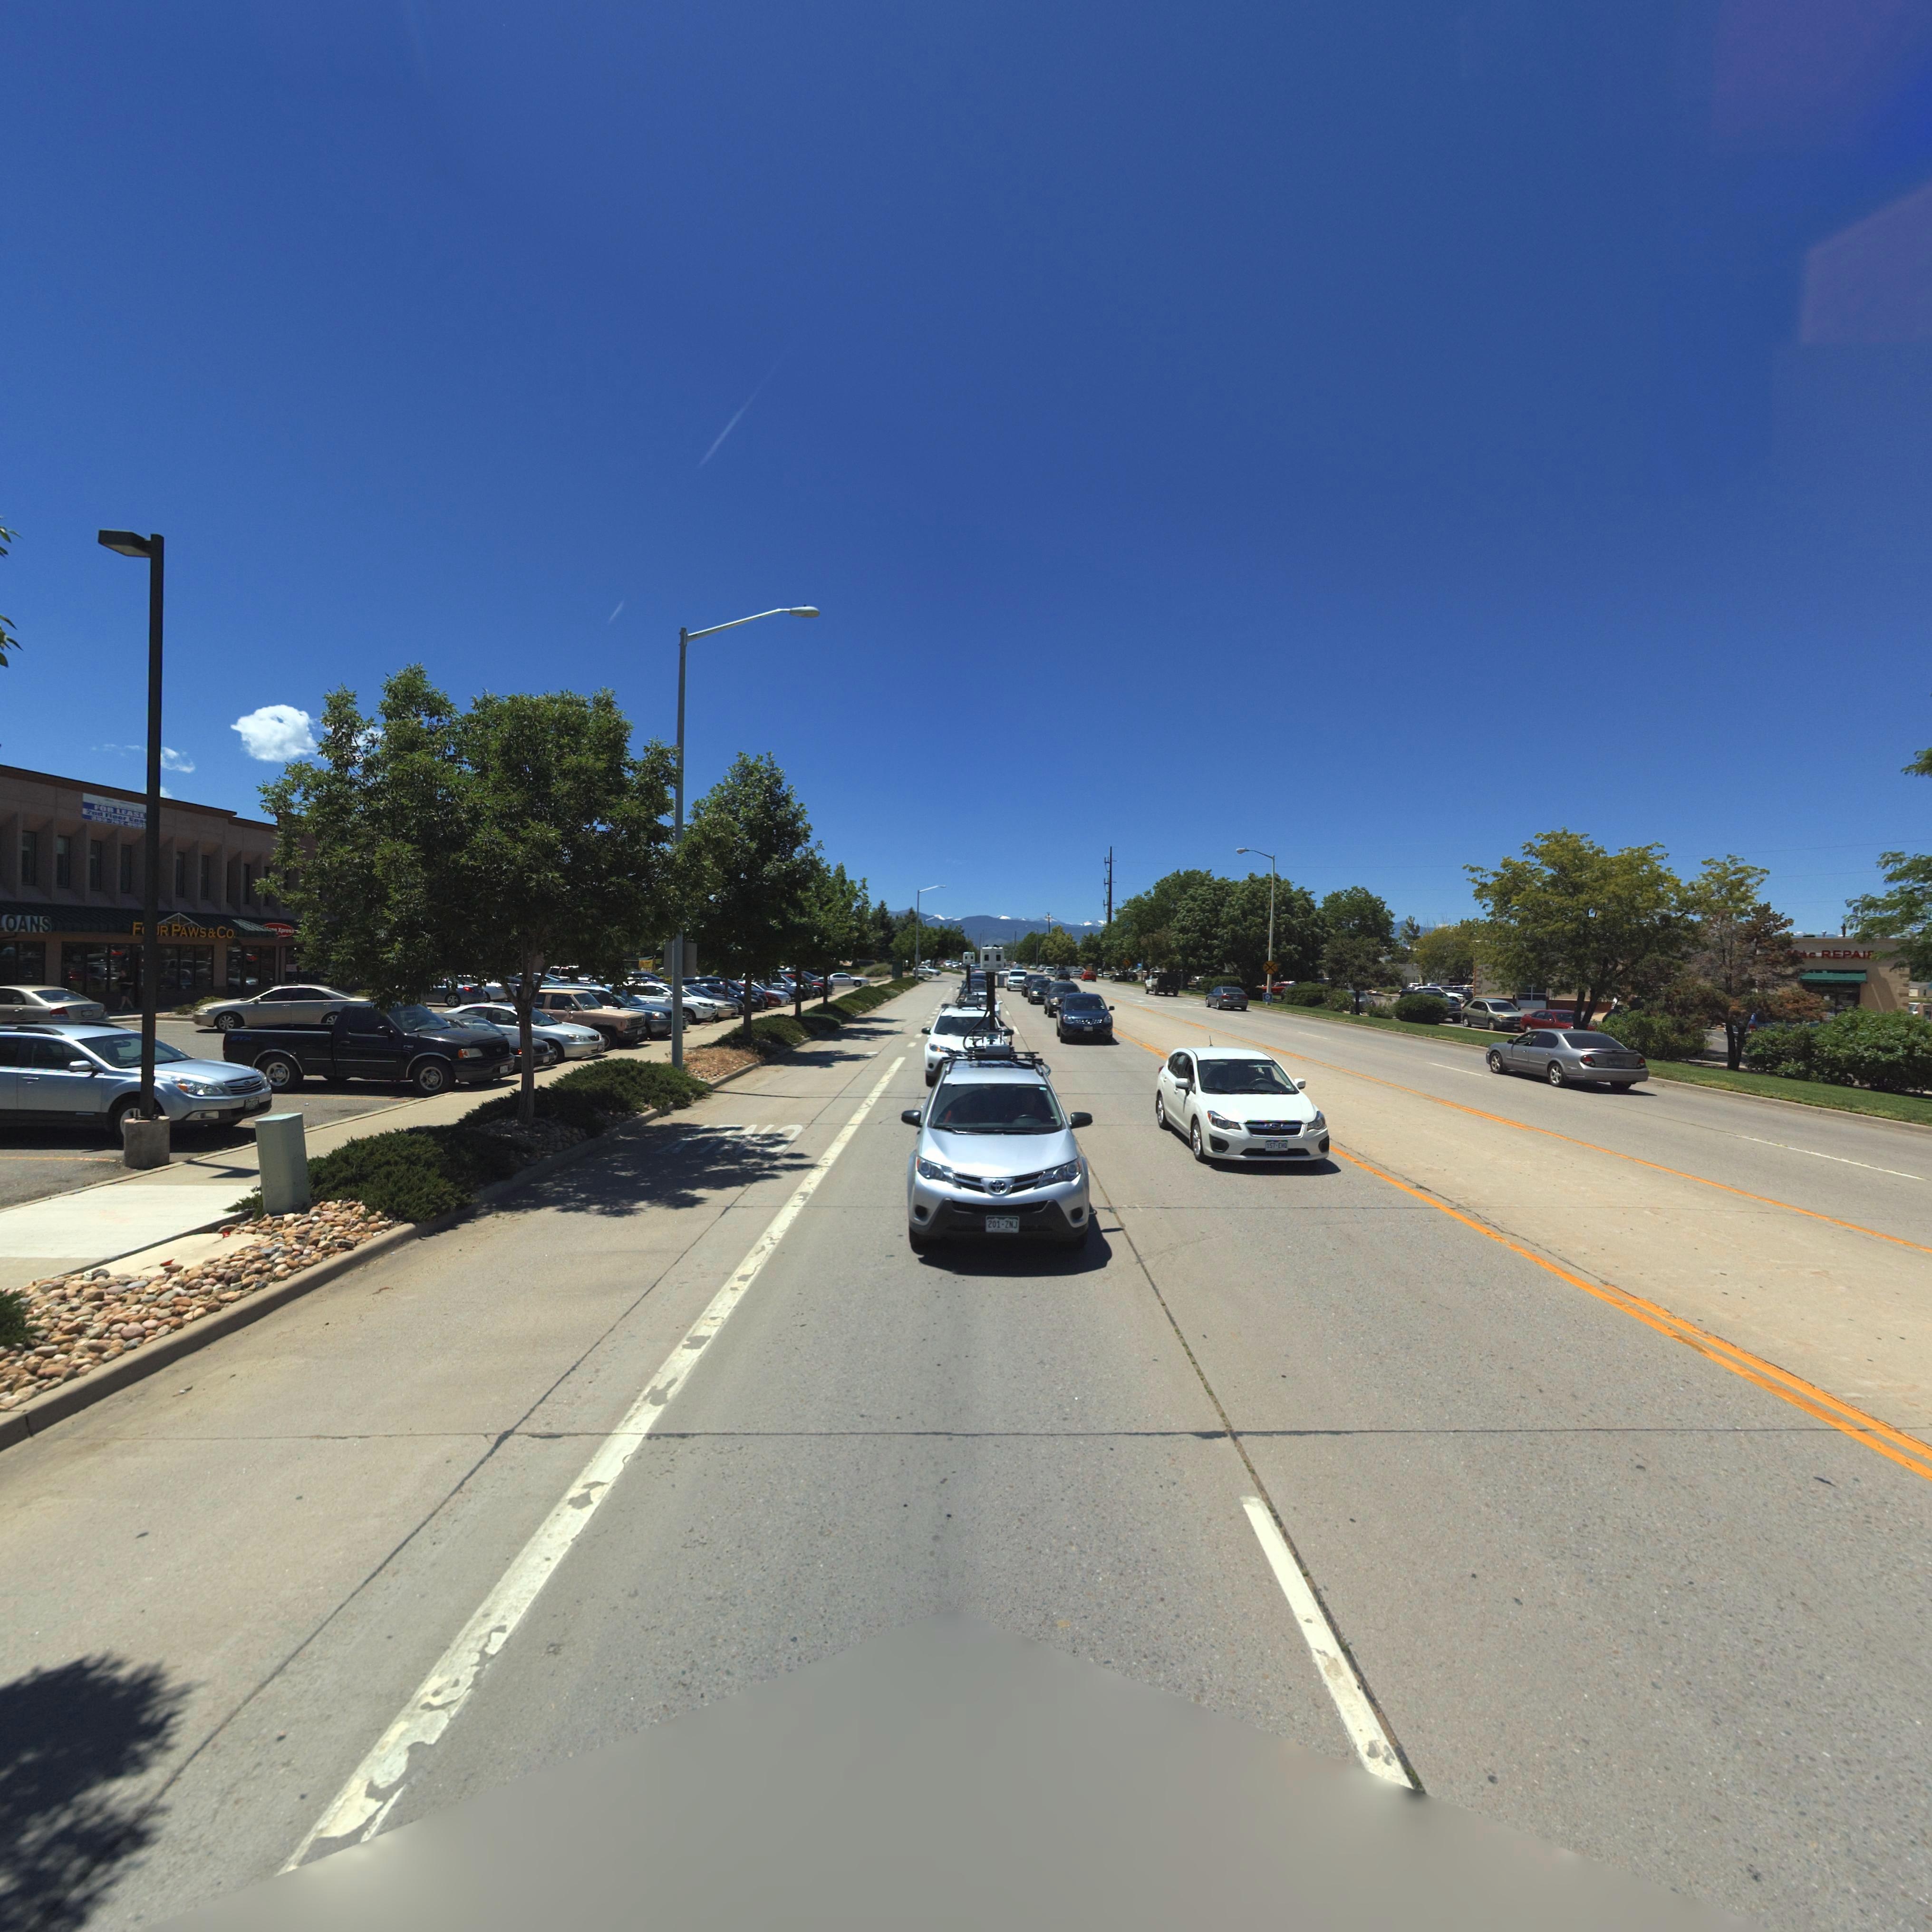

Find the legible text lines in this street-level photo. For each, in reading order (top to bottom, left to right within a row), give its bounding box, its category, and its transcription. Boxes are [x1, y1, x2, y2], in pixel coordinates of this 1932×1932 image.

[4, 913, 52, 934] BusinessName: OANS
[132, 921, 235, 938] BusinessName: F**R PAWS & CO.
[278, 927, 294, 934] BusinessName: Xpress
[1787, 949, 1875, 959] BusinessName: *ac REPAI*